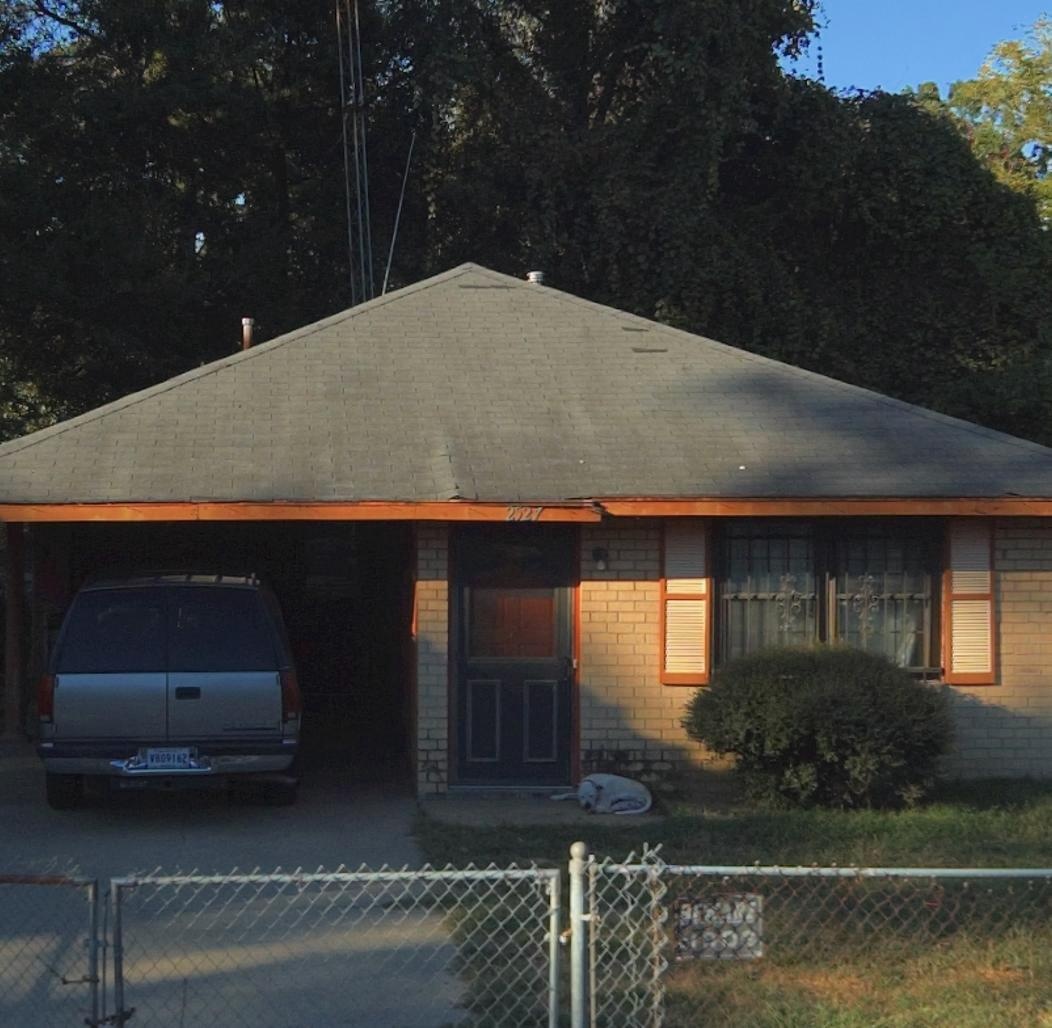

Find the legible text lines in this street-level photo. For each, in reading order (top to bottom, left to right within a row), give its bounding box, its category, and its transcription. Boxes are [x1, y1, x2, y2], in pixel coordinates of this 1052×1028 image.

[504, 505, 546, 522] StreetNumber: 2527
[148, 752, 189, 765] None: V809162